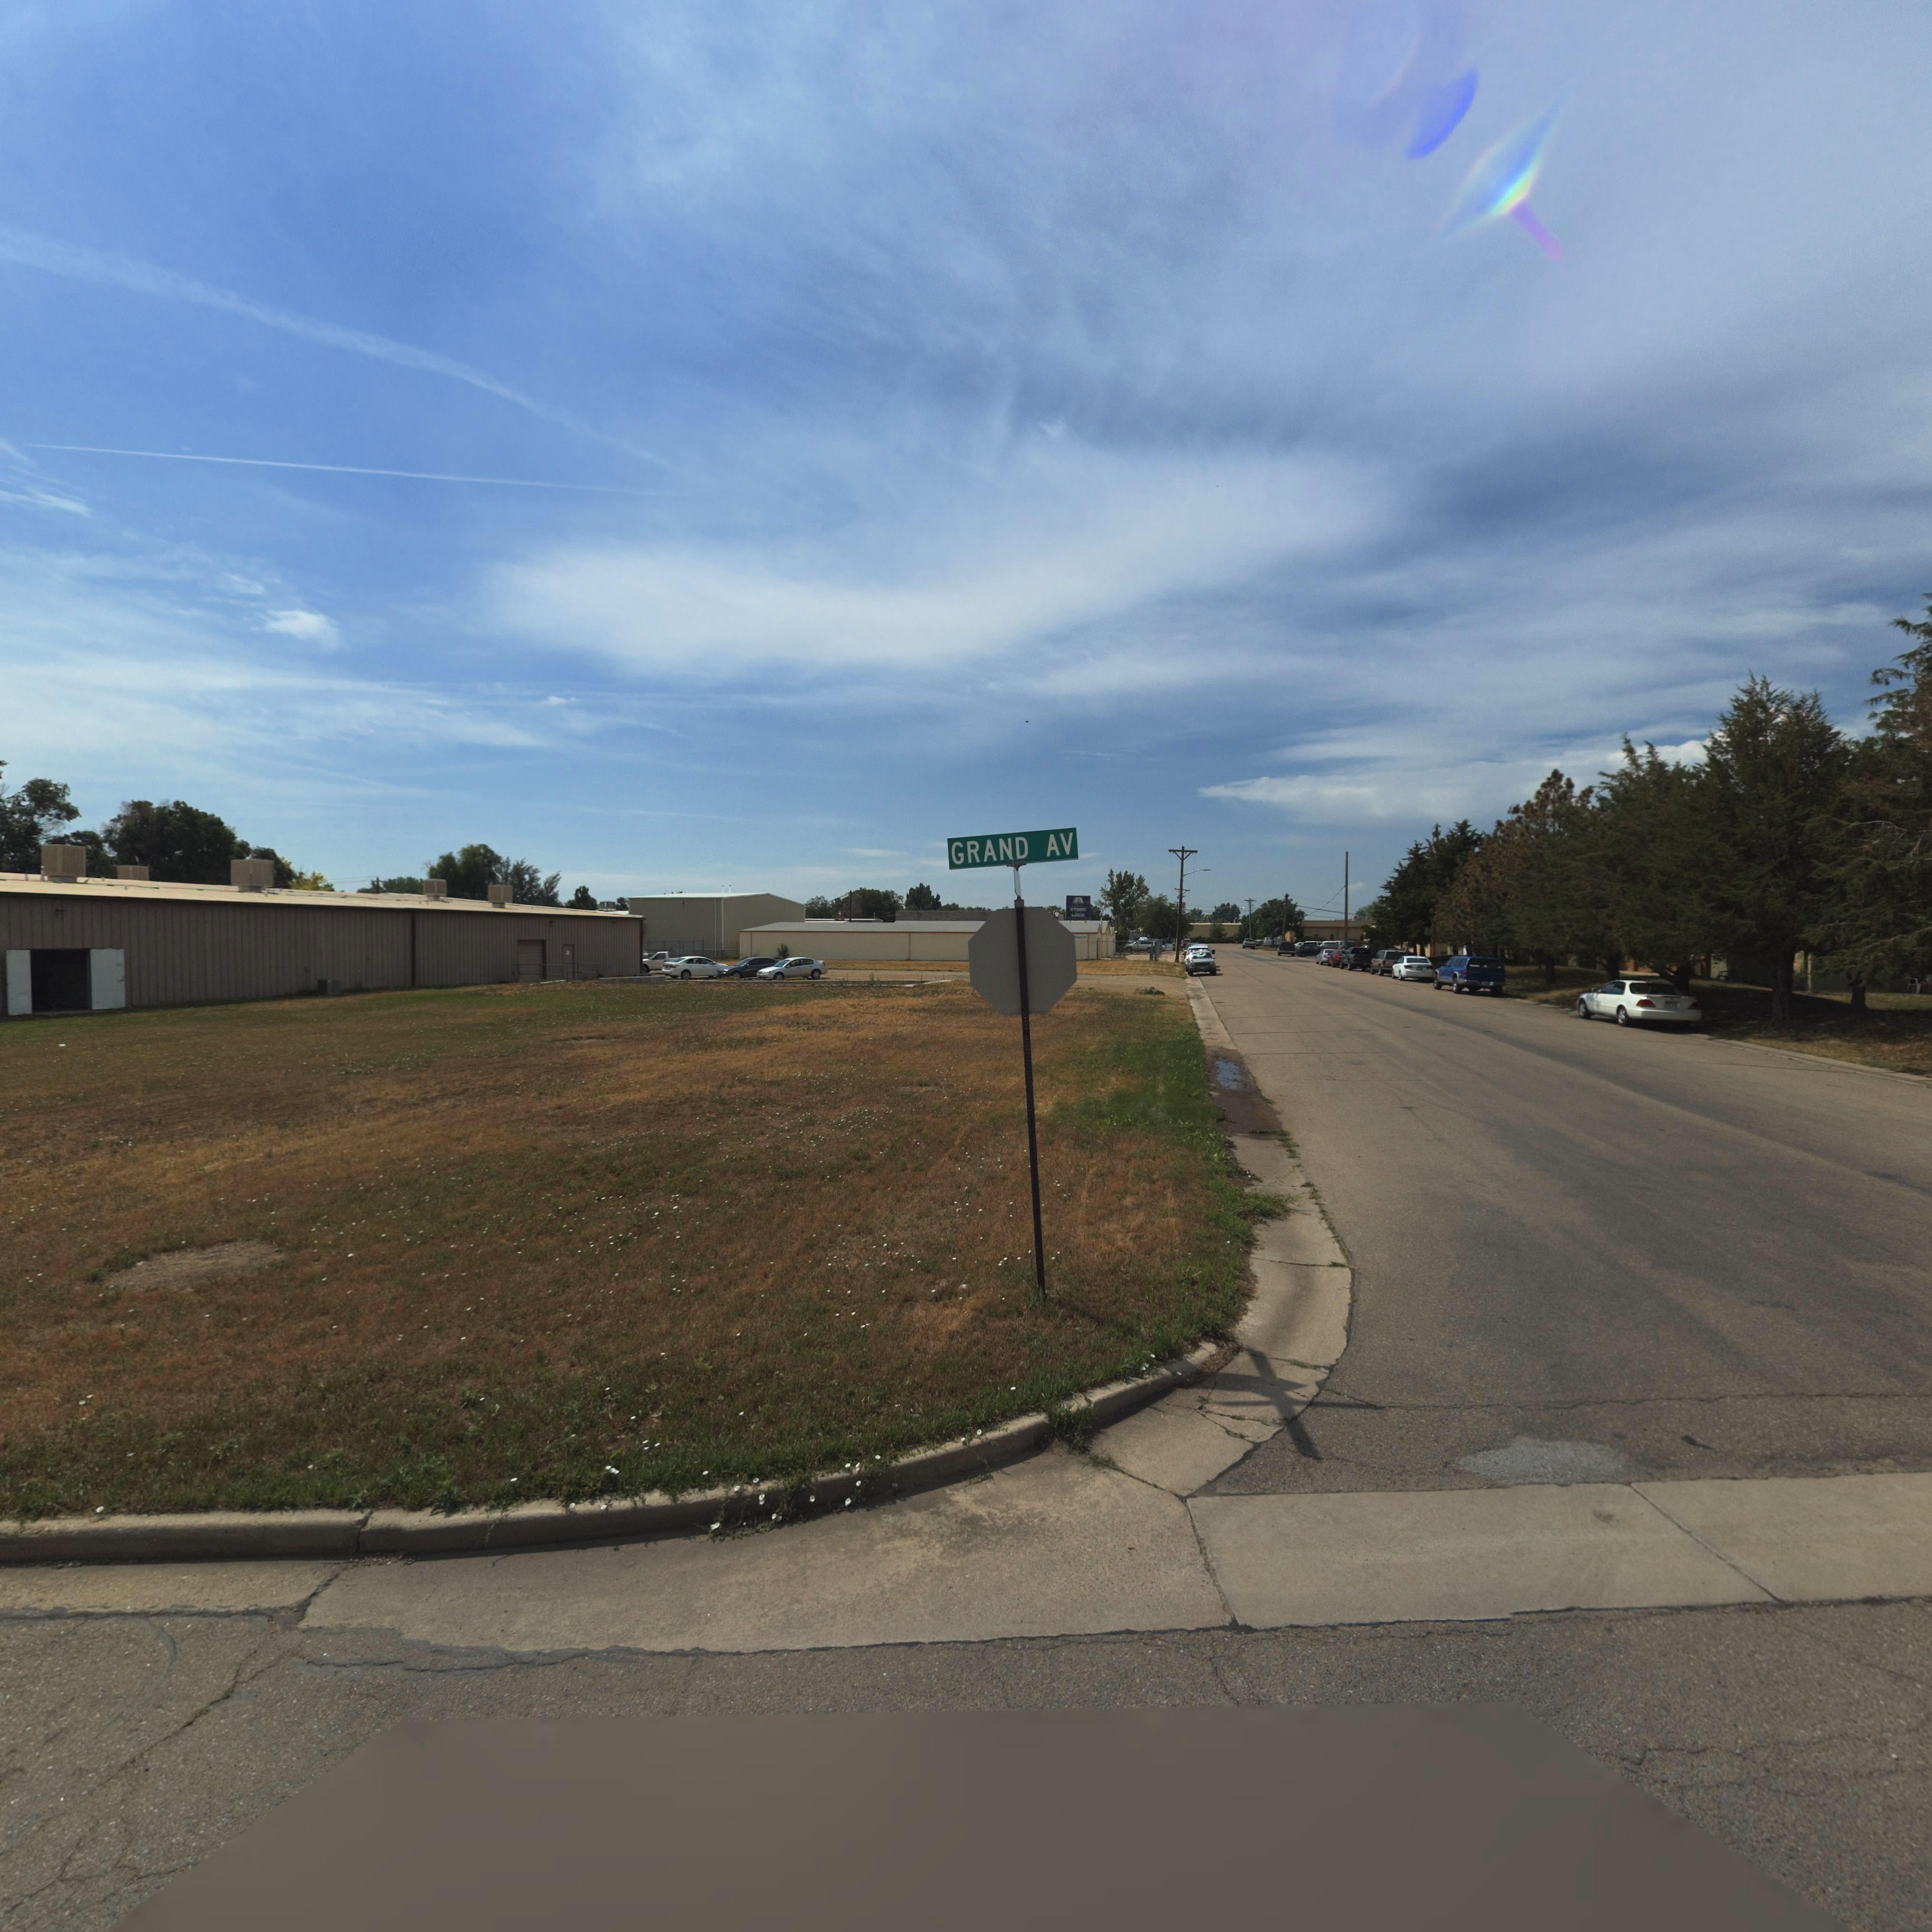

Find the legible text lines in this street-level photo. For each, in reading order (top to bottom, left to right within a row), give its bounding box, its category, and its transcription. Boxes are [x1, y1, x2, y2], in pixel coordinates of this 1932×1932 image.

[949, 830, 1074, 866] StreetName: GRAND AV
[1072, 897, 1084, 904] BusinessName: A